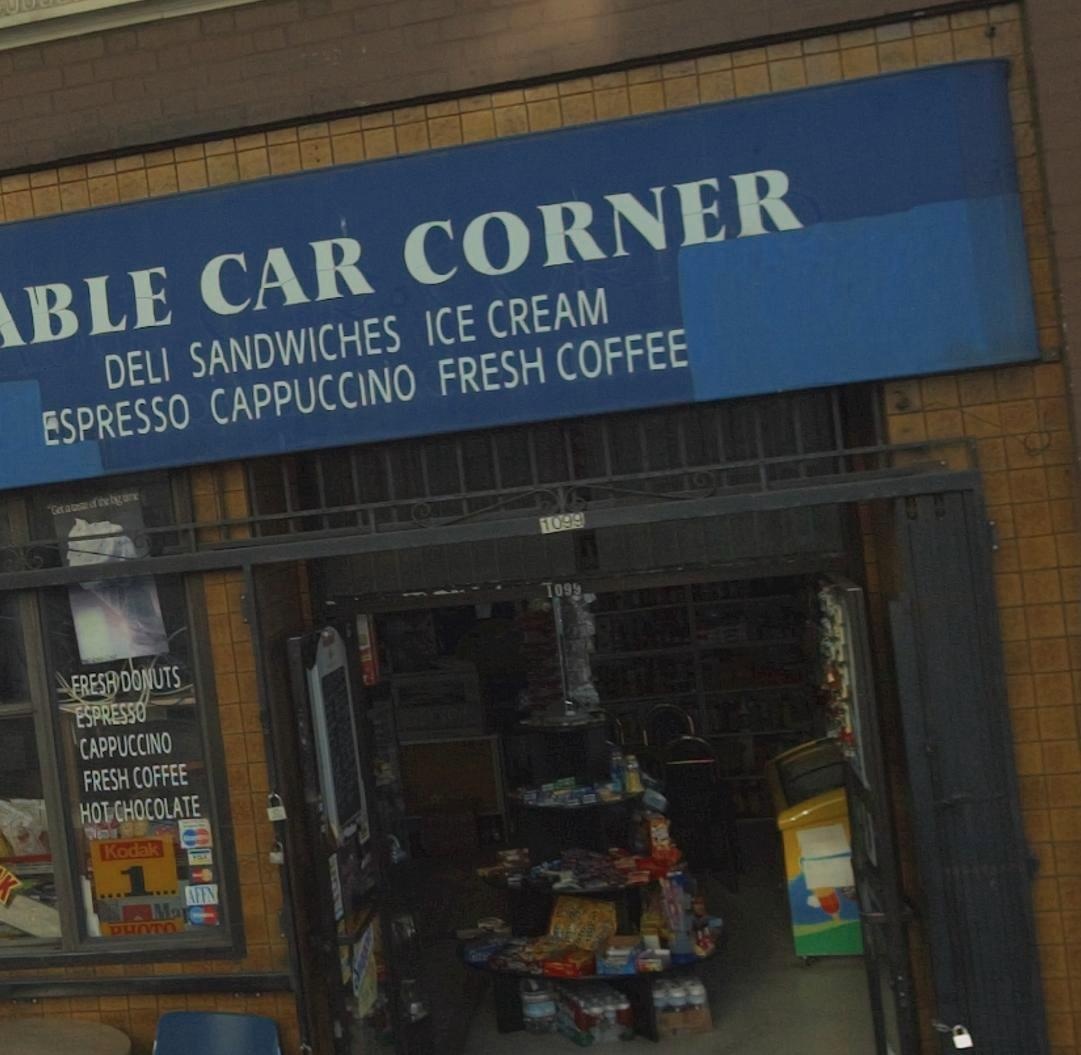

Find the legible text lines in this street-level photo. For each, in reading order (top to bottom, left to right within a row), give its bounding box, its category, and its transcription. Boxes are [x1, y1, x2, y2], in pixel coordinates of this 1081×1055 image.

[19, 163, 812, 349] BusinessName: BLE CAR CORNER
[101, 284, 613, 394] None: DELI SANWICHES ICE CREAM
[40, 326, 693, 453] None: ESPRESSO CAPPUCCINO FRESH COFFEE
[48, 489, 140, 517] None: Get a taste of the big time
[540, 509, 586, 534] StreetNumber: 1099
[543, 581, 585, 599] StreetNumber: 1099
[67, 663, 184, 699] None: FRESH DONUTS
[73, 700, 149, 731] None: ESPRESSO
[75, 730, 174, 764] None: CAPPUCCINO
[82, 761, 191, 795] None: FRESH COFFEE
[78, 792, 203, 827] None: HOT CHOCOLATE
[102, 840, 161, 861] None: Kodak
[186, 885, 217, 905] None: AFFN